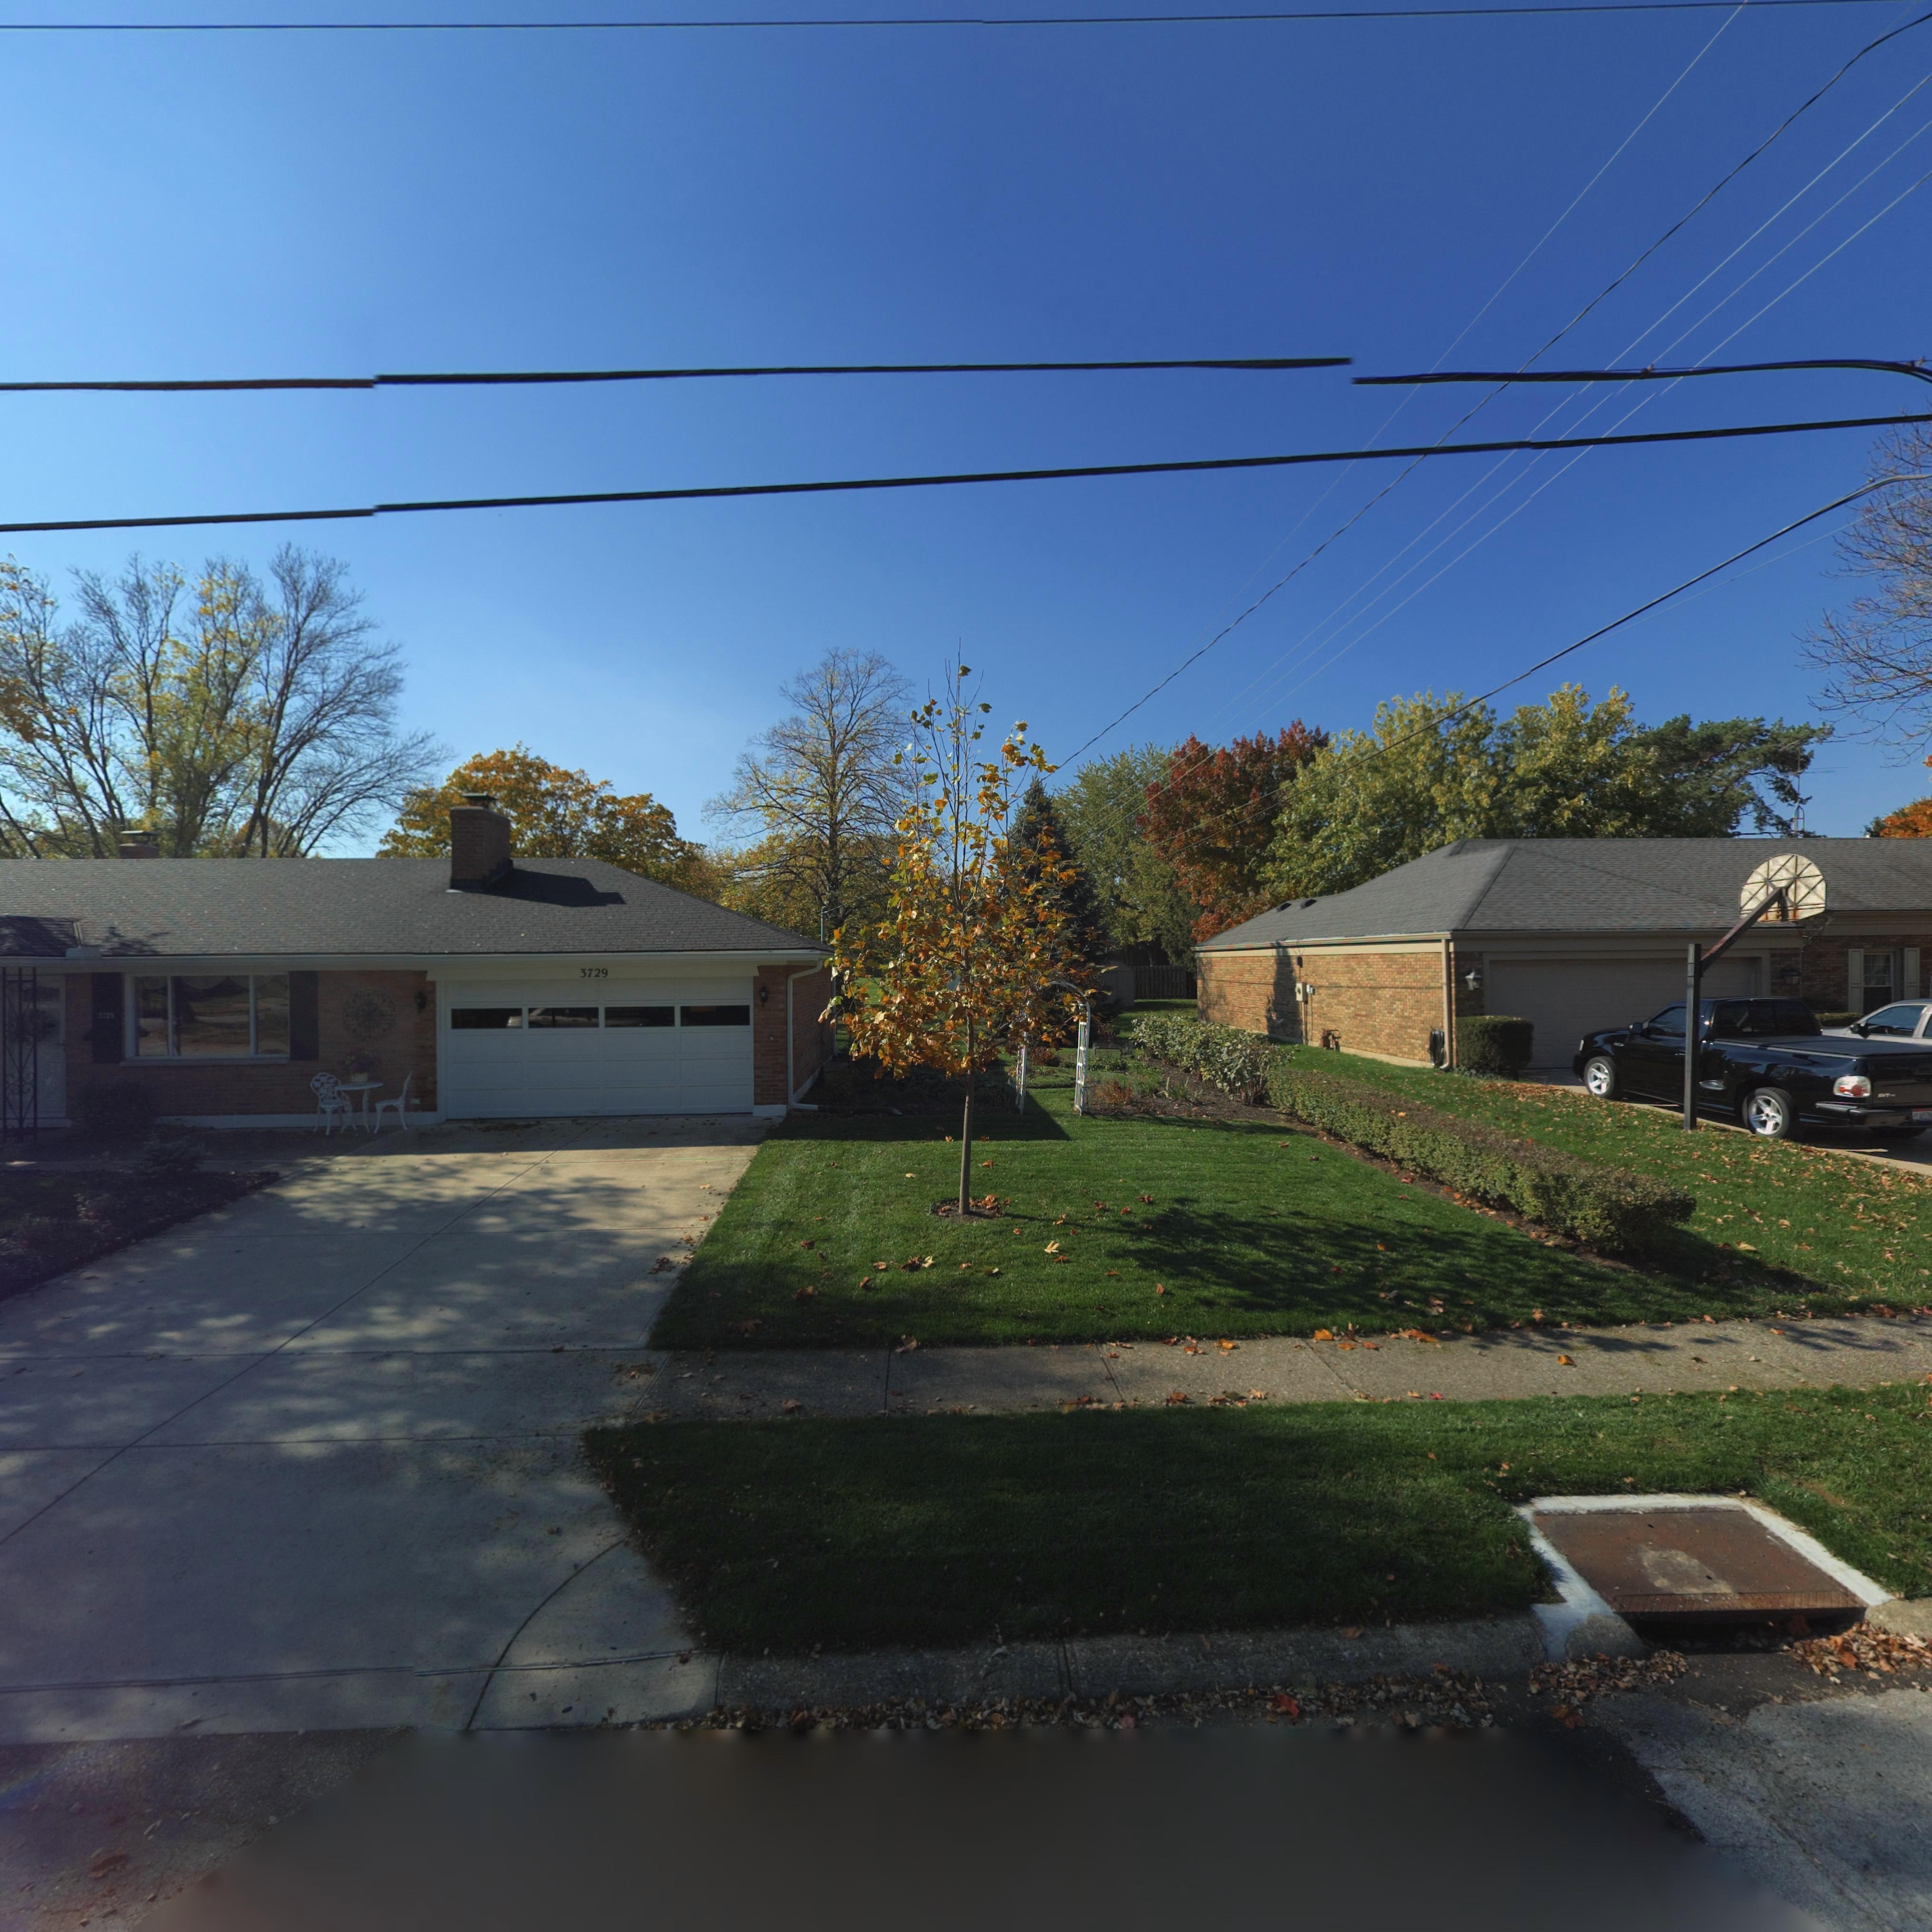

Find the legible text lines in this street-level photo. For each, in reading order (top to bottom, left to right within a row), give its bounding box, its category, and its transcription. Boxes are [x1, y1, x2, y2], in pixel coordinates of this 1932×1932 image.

[579, 967, 609, 977] StreetNumber: 3729
[97, 1011, 115, 1019] StreetNumber: 3729